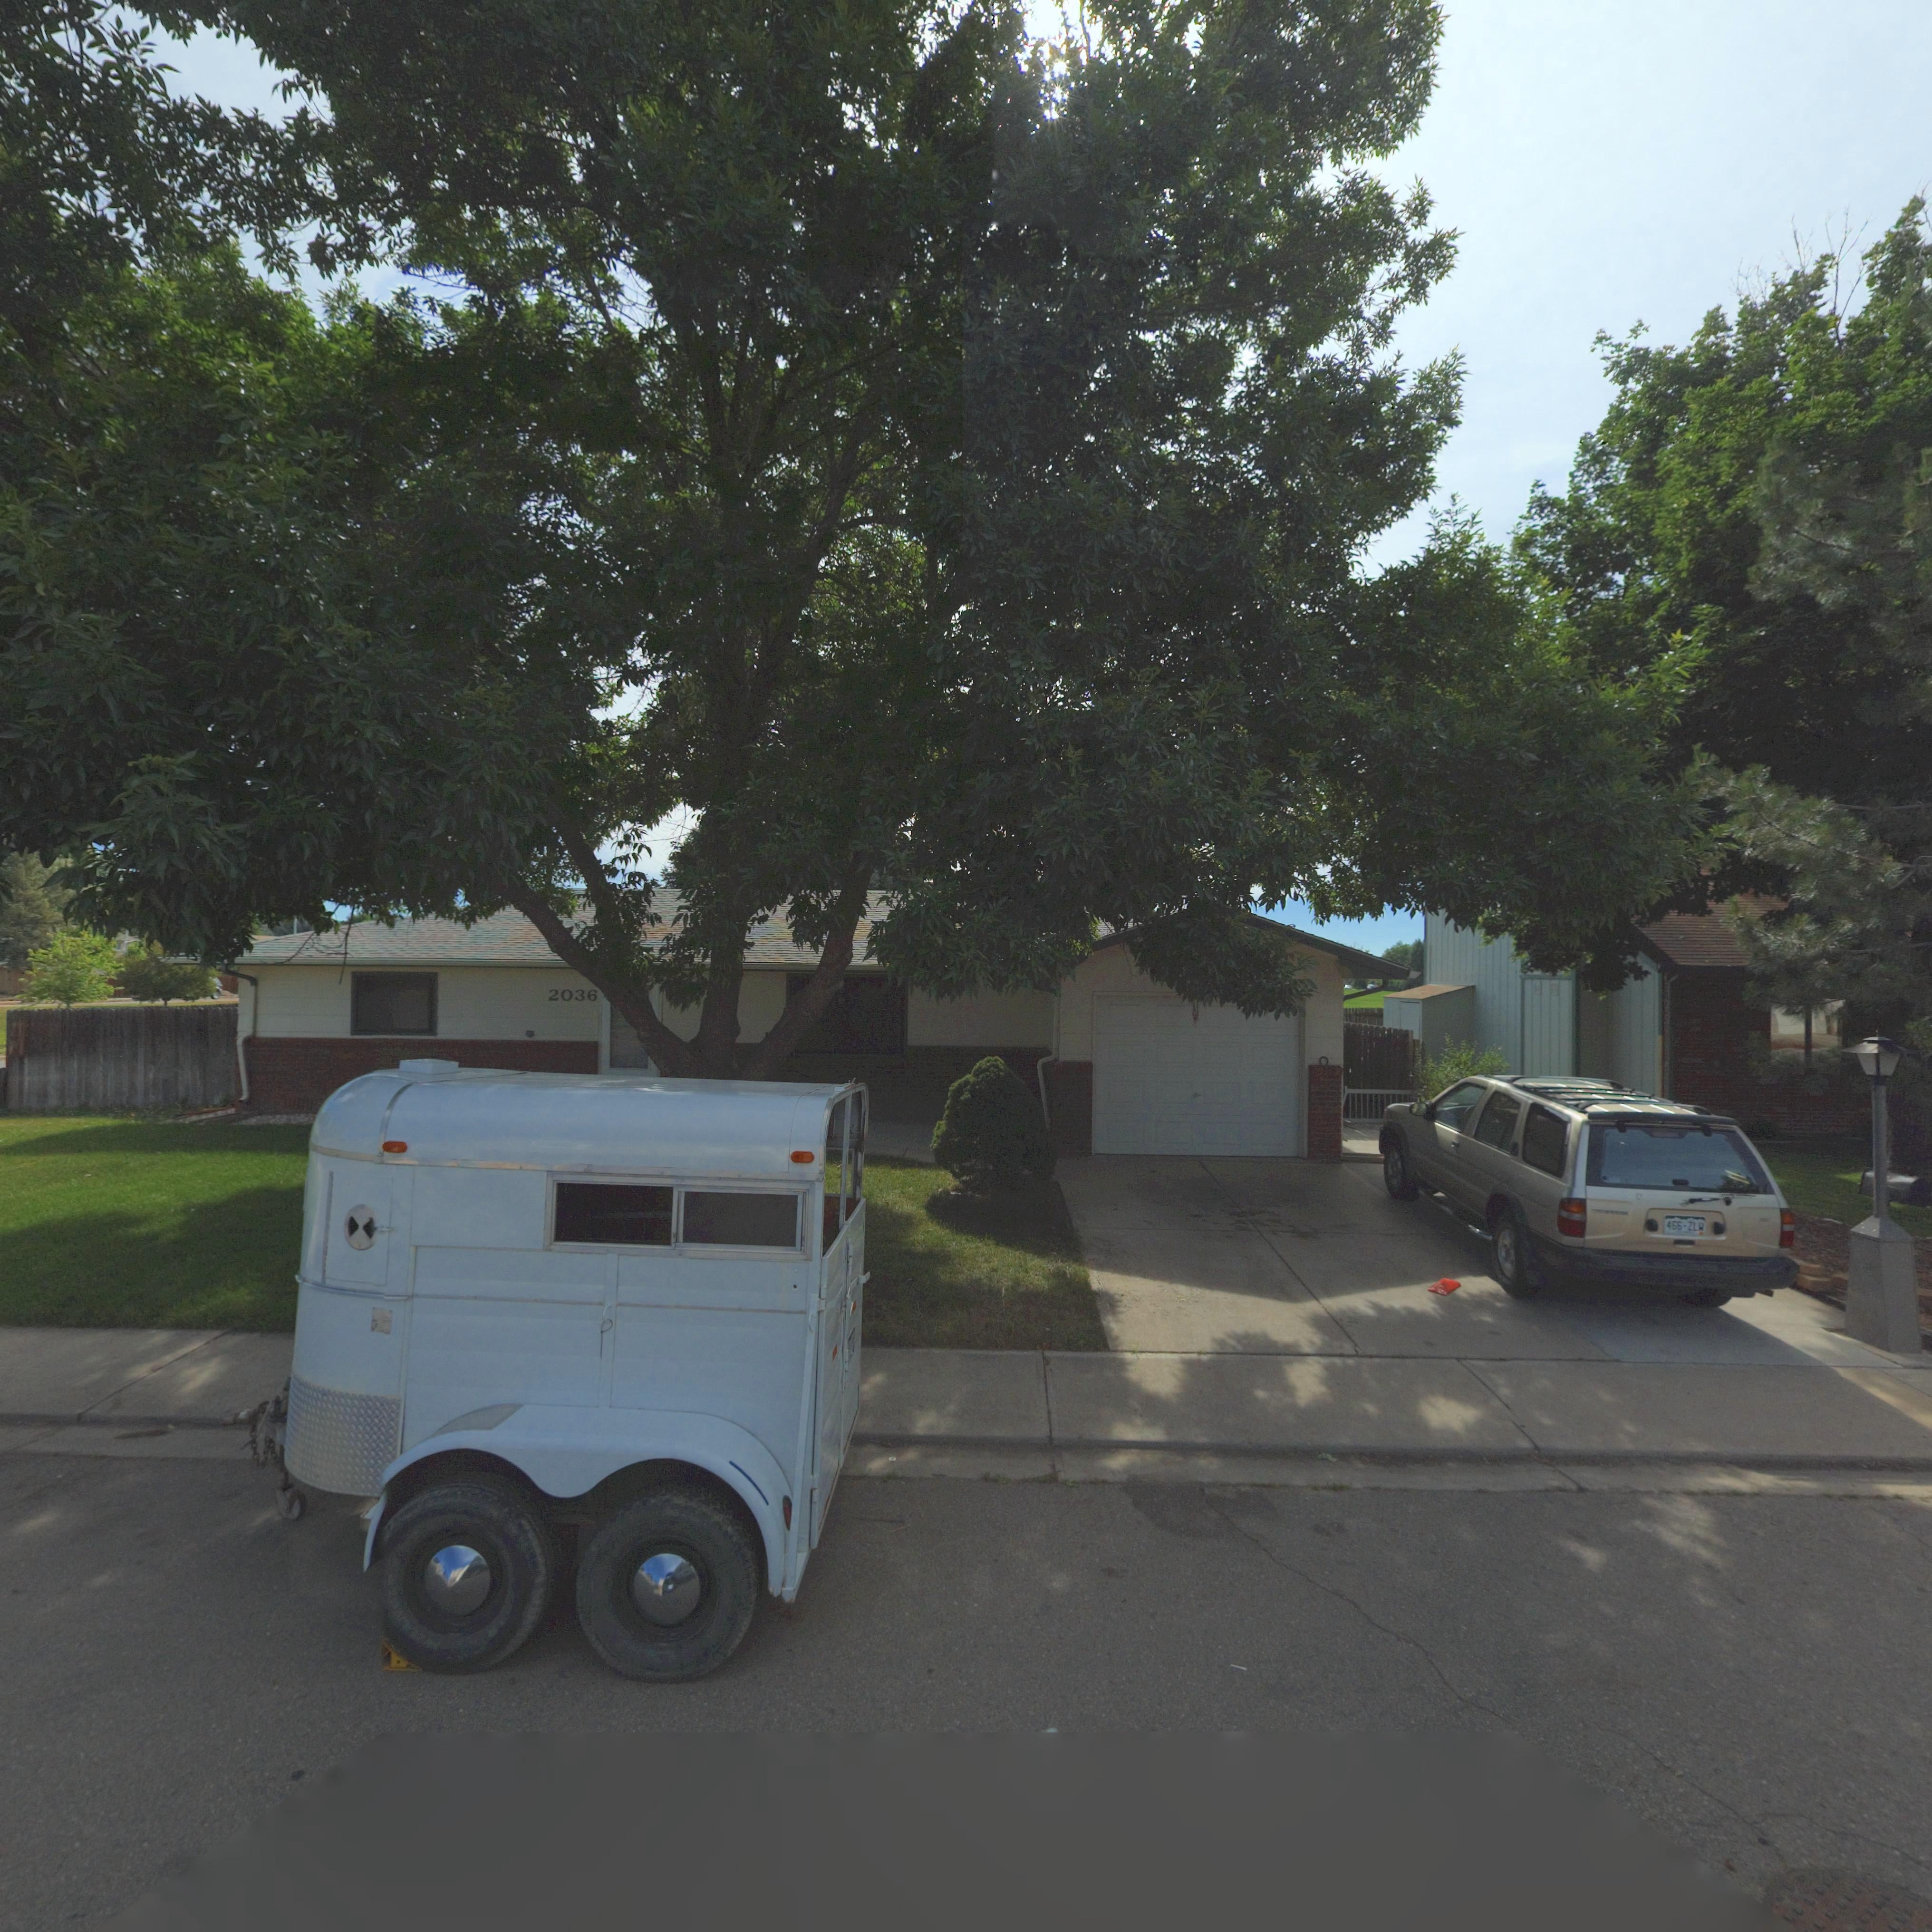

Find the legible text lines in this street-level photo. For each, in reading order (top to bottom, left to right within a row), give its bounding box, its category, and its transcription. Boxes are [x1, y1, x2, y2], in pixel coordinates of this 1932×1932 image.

[548, 988, 598, 1002] StreetNumber: 2036